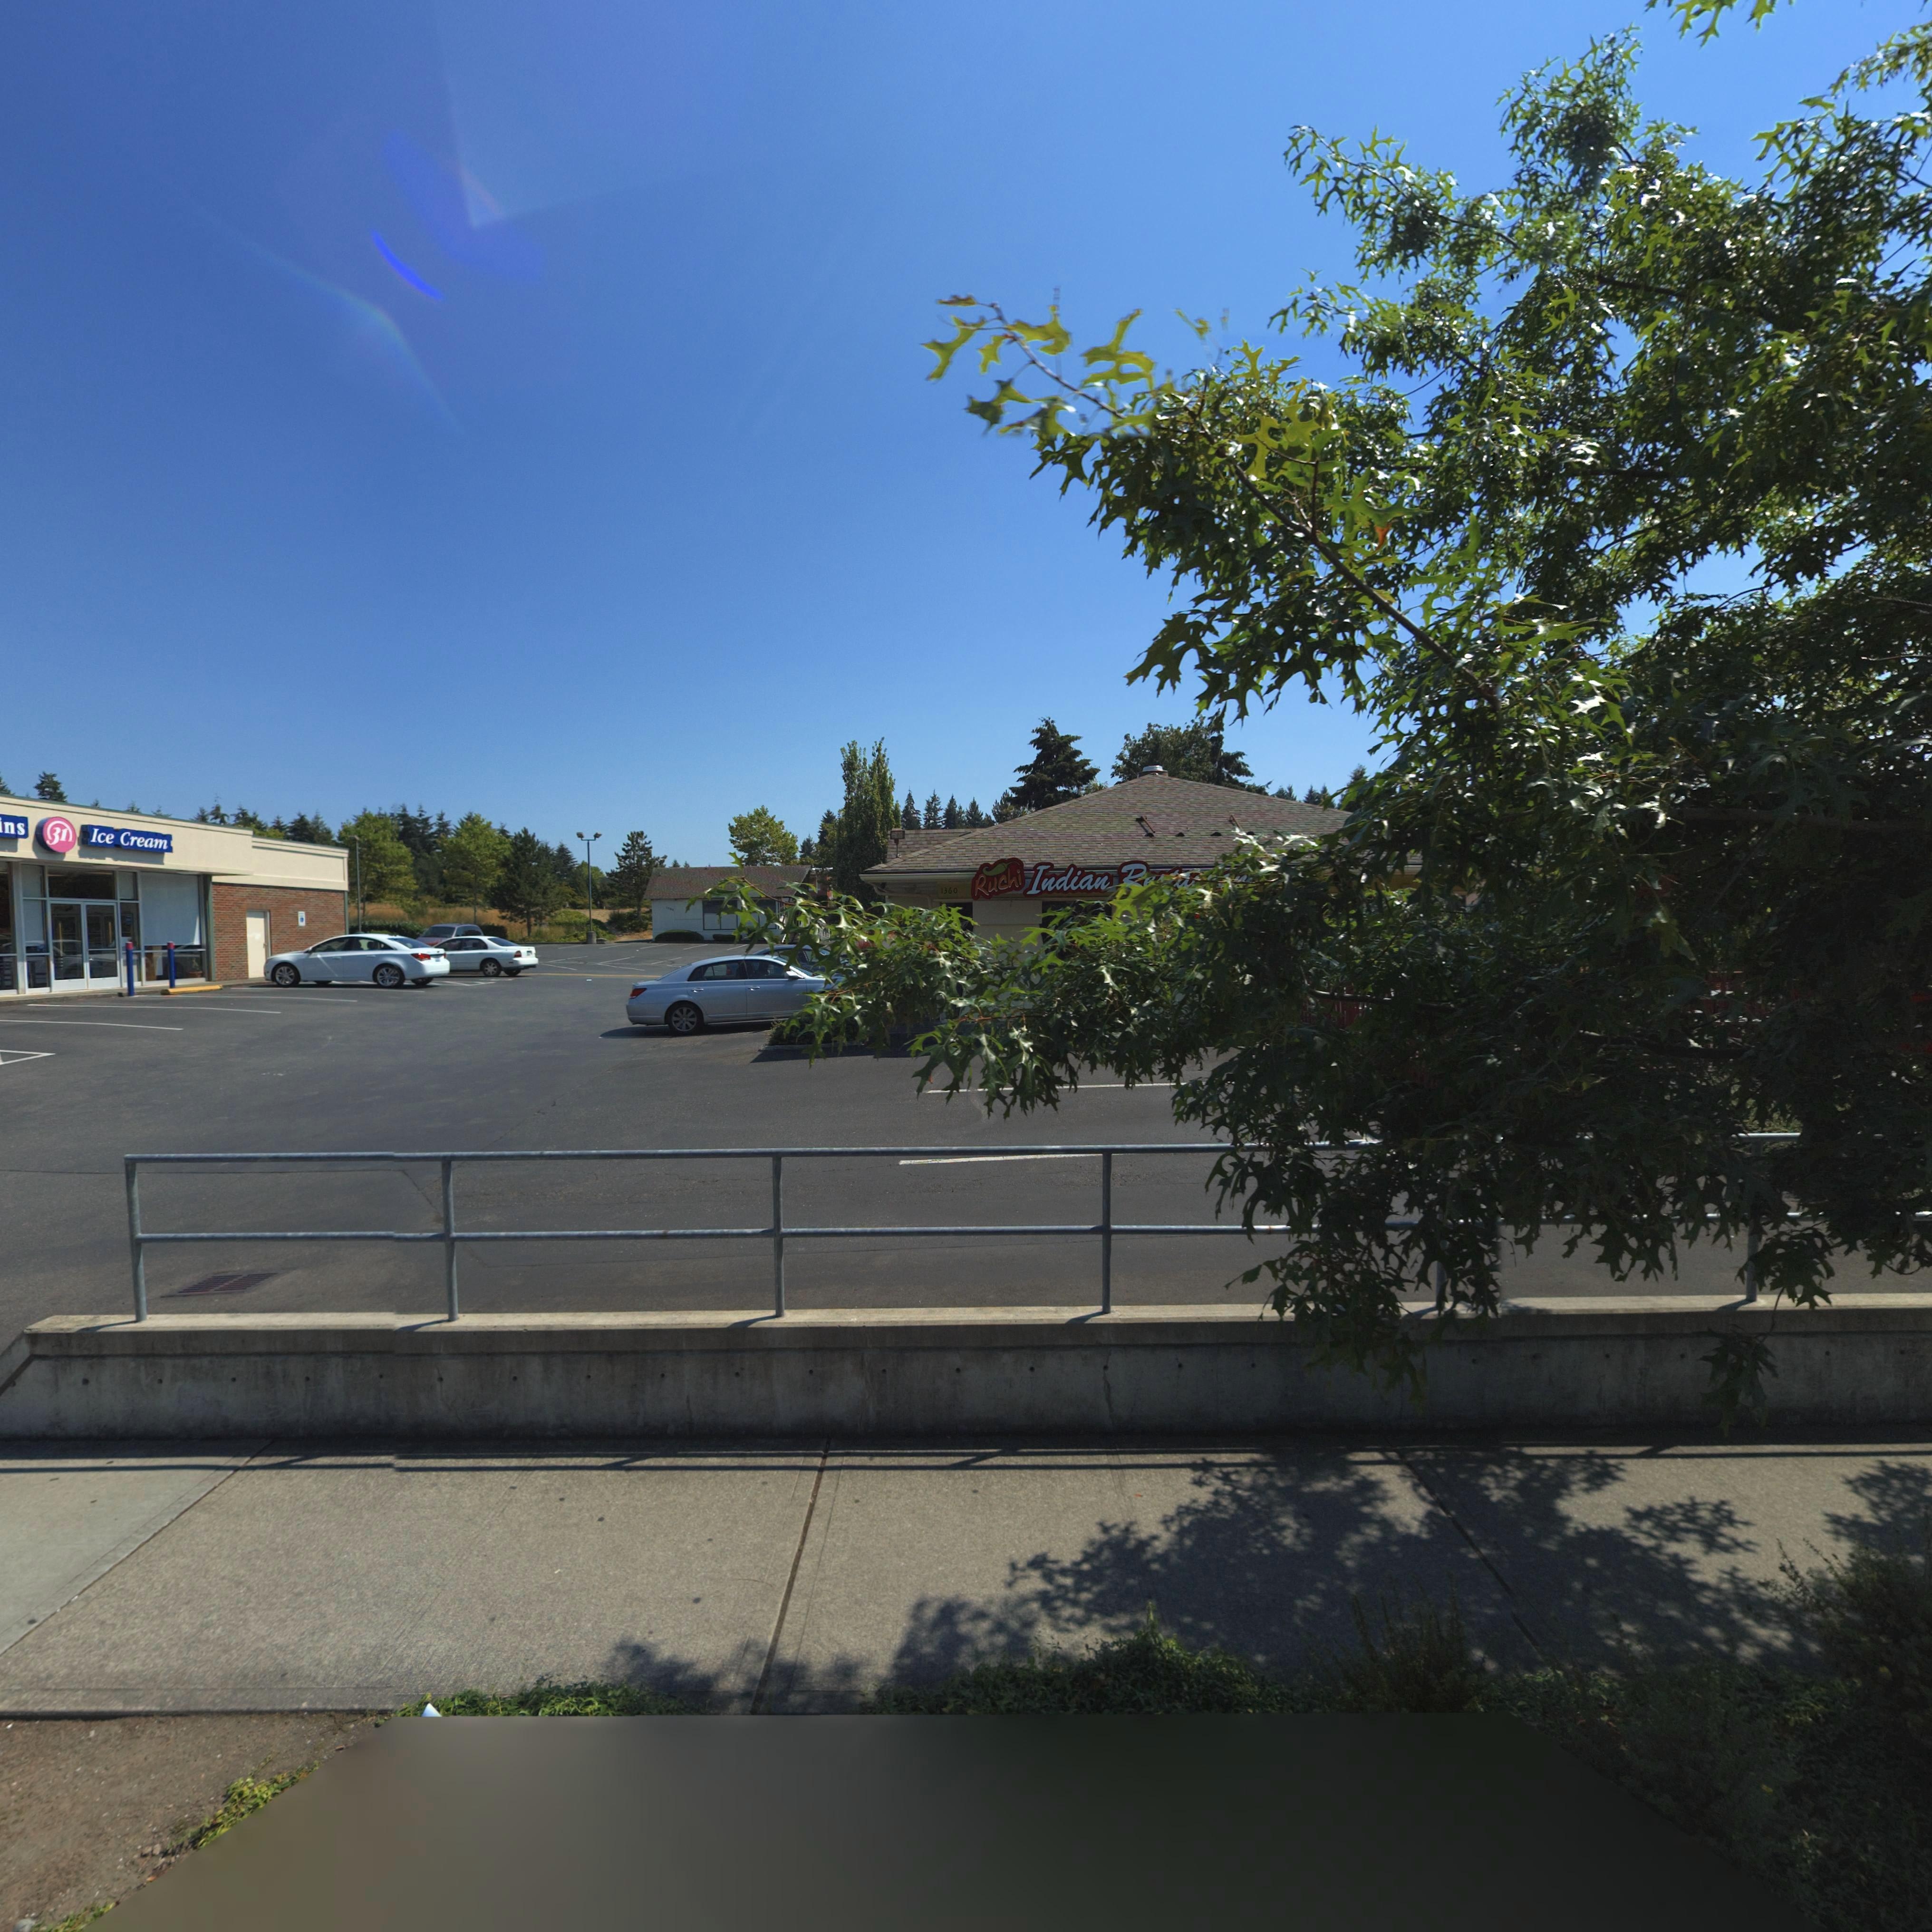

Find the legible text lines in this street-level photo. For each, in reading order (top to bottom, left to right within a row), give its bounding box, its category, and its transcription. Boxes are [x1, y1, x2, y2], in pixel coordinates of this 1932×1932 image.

[1, 811, 178, 863] BusinessName: ns 31 Ice Cream
[941, 887, 957, 894] StreetNumber: 1360
[970, 850, 1120, 899] StreetNumber: Ruchi Indian